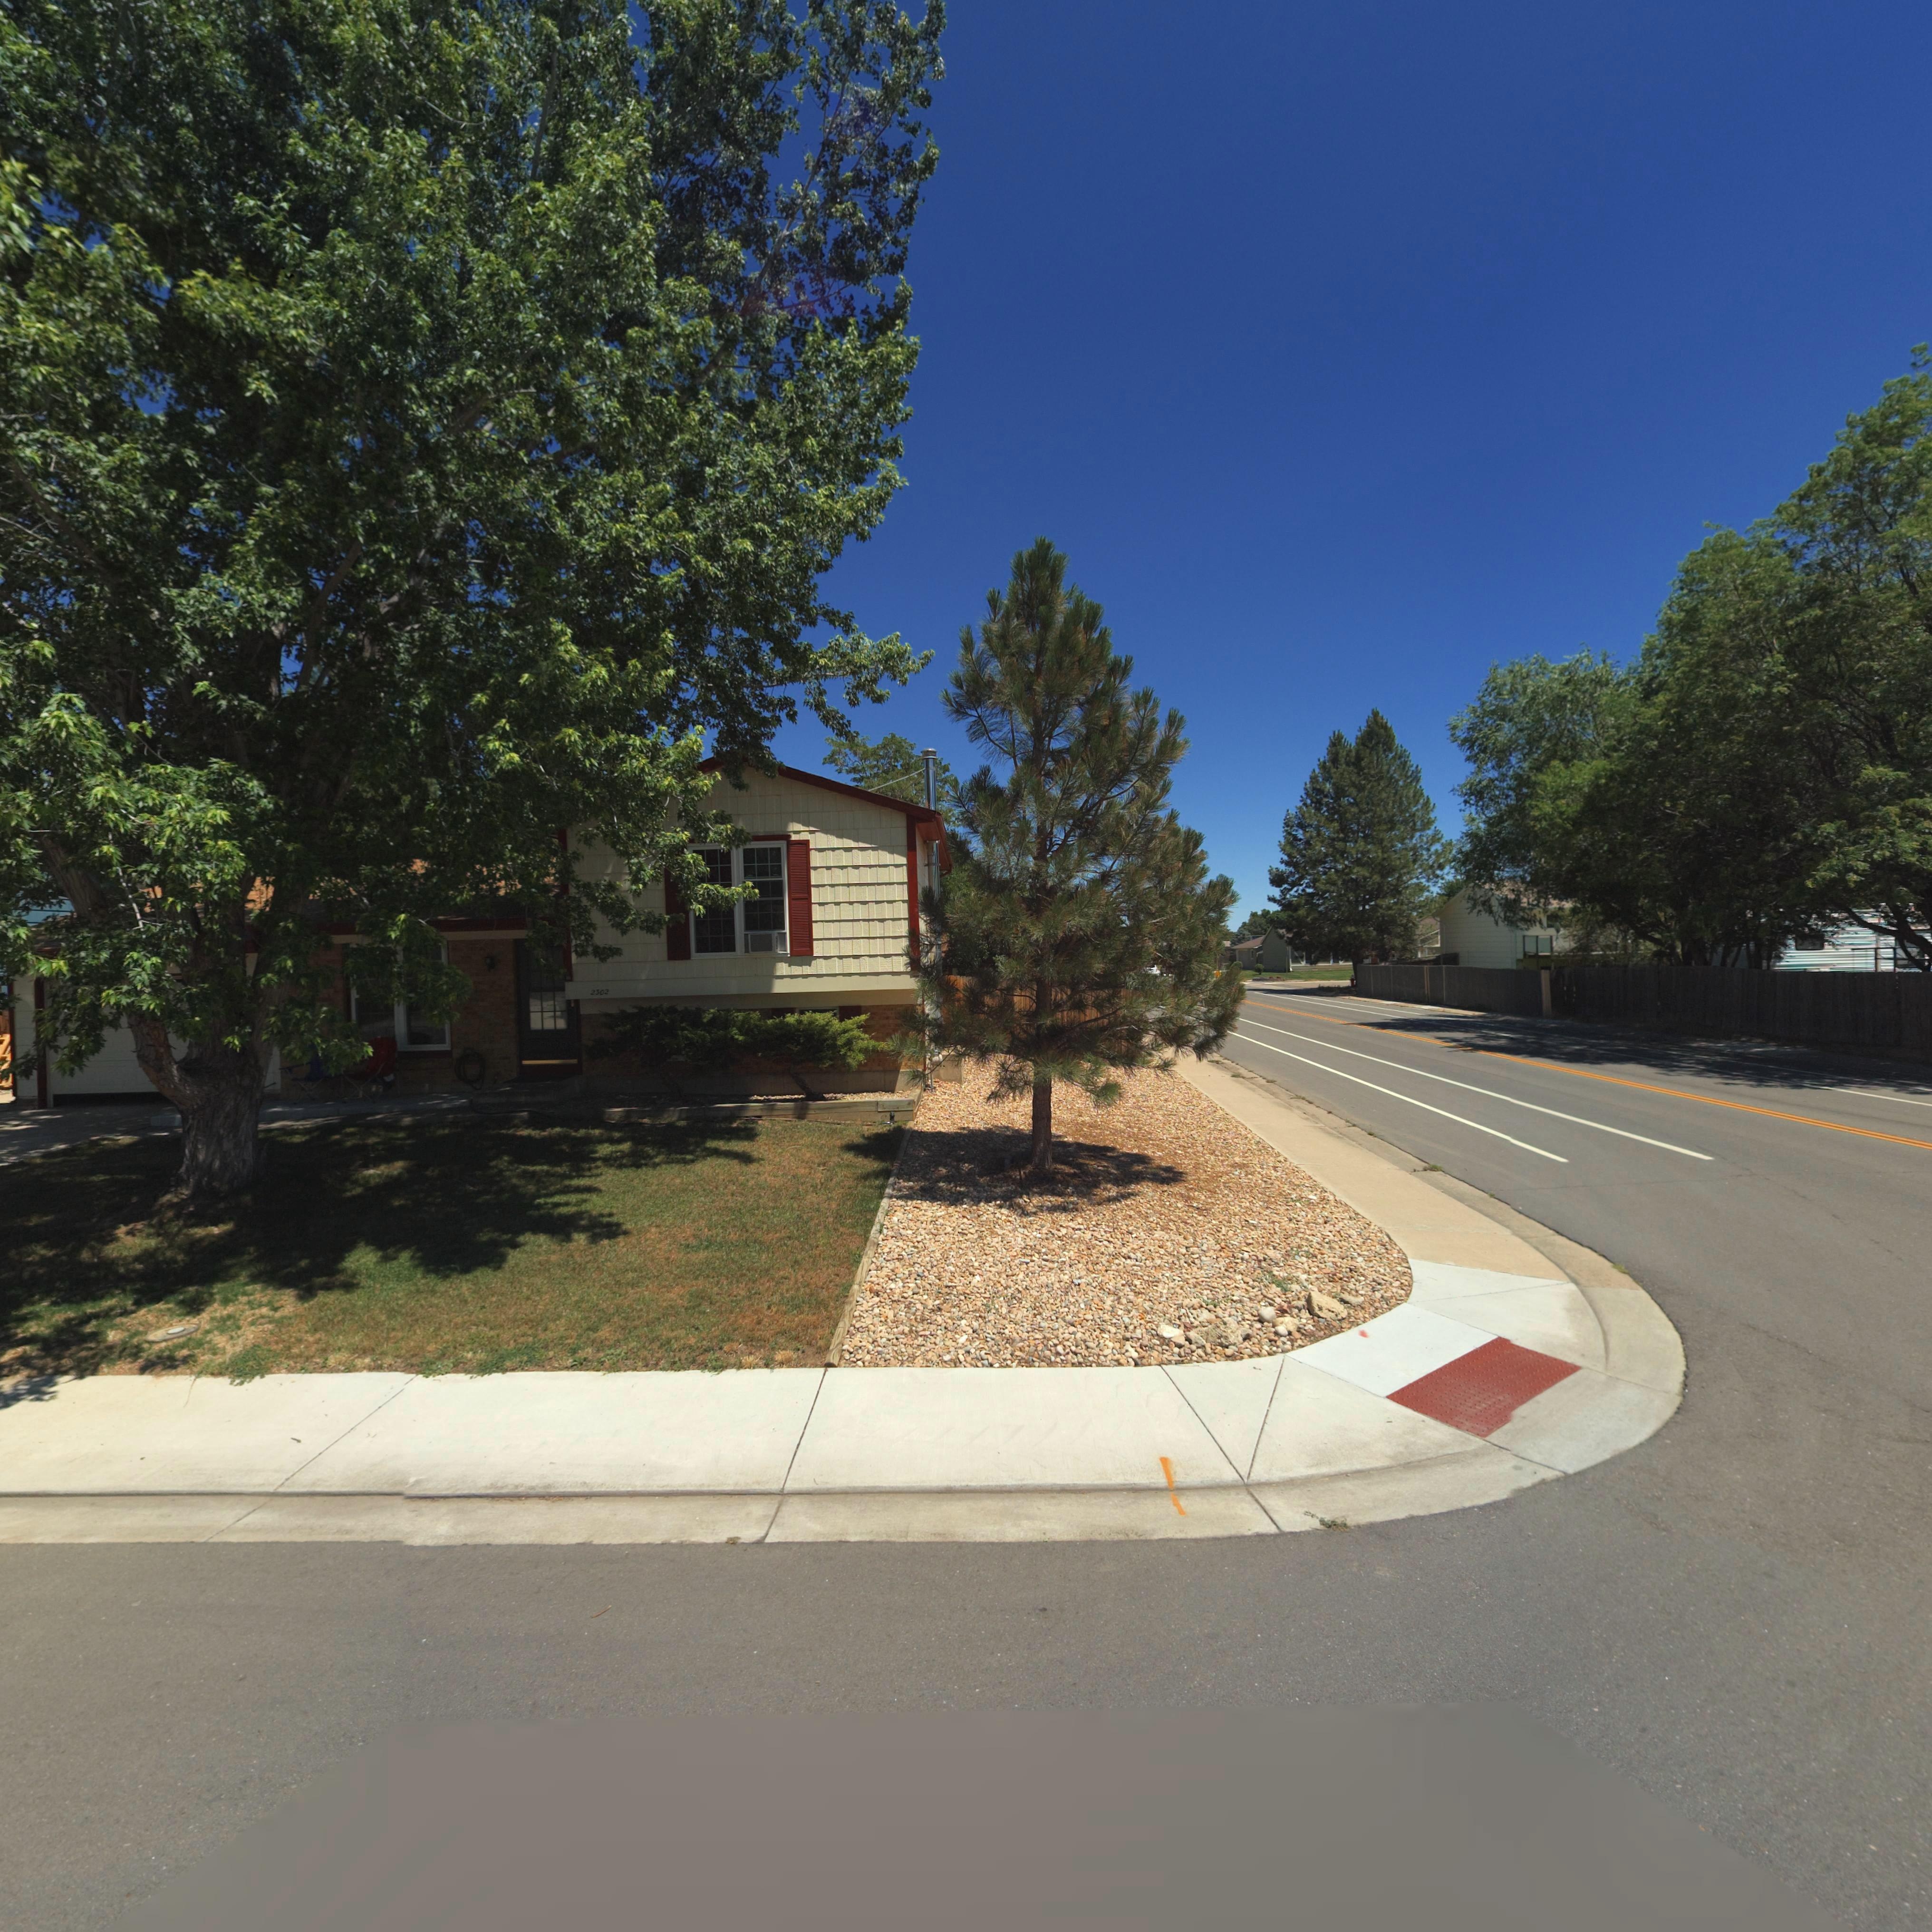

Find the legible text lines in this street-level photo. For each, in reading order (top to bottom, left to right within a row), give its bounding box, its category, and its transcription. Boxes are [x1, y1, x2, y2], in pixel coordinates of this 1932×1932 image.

[589, 988, 609, 995] StreetNumber: 2302